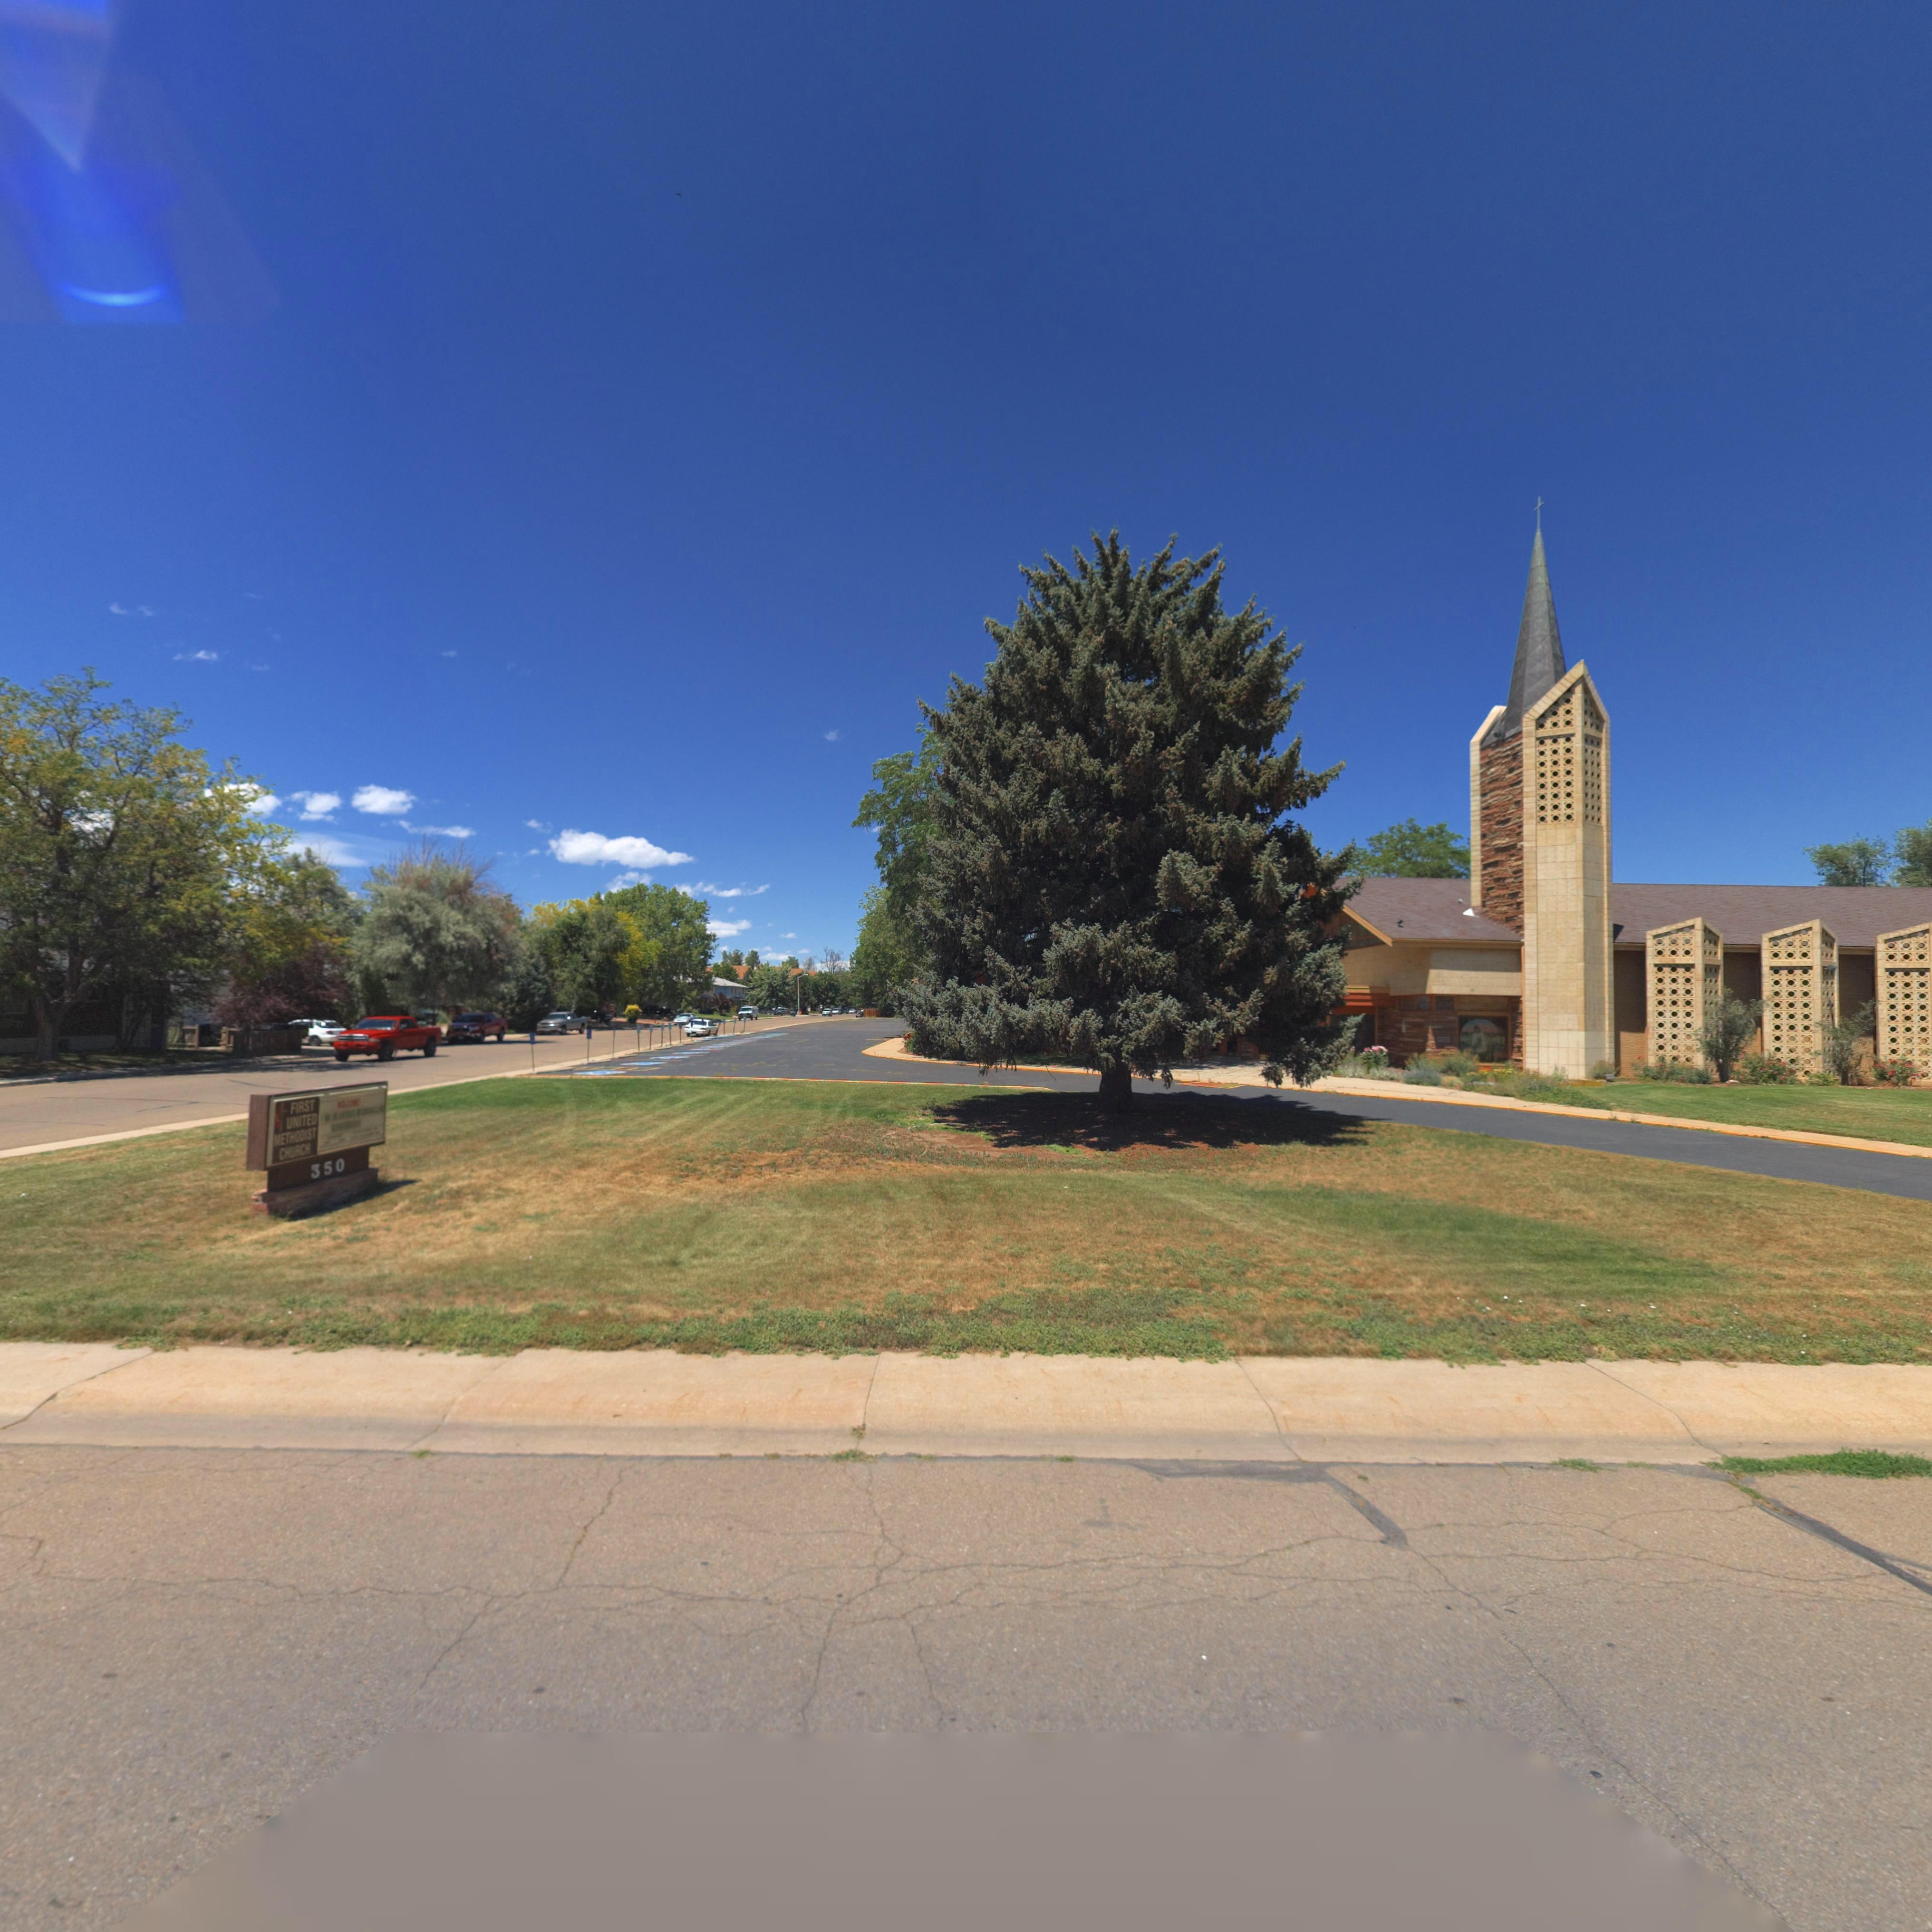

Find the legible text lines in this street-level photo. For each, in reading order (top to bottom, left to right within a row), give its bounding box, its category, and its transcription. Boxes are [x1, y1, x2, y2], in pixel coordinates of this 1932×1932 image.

[290, 1100, 314, 1114] BusinessName: FIRST
[287, 1113, 317, 1129] BusinessName: UNITED
[273, 1127, 317, 1147] BusinessName: METHODIST
[279, 1142, 310, 1160] BusinessName: CHURCH
[311, 1158, 346, 1179] StreetNumber: 350